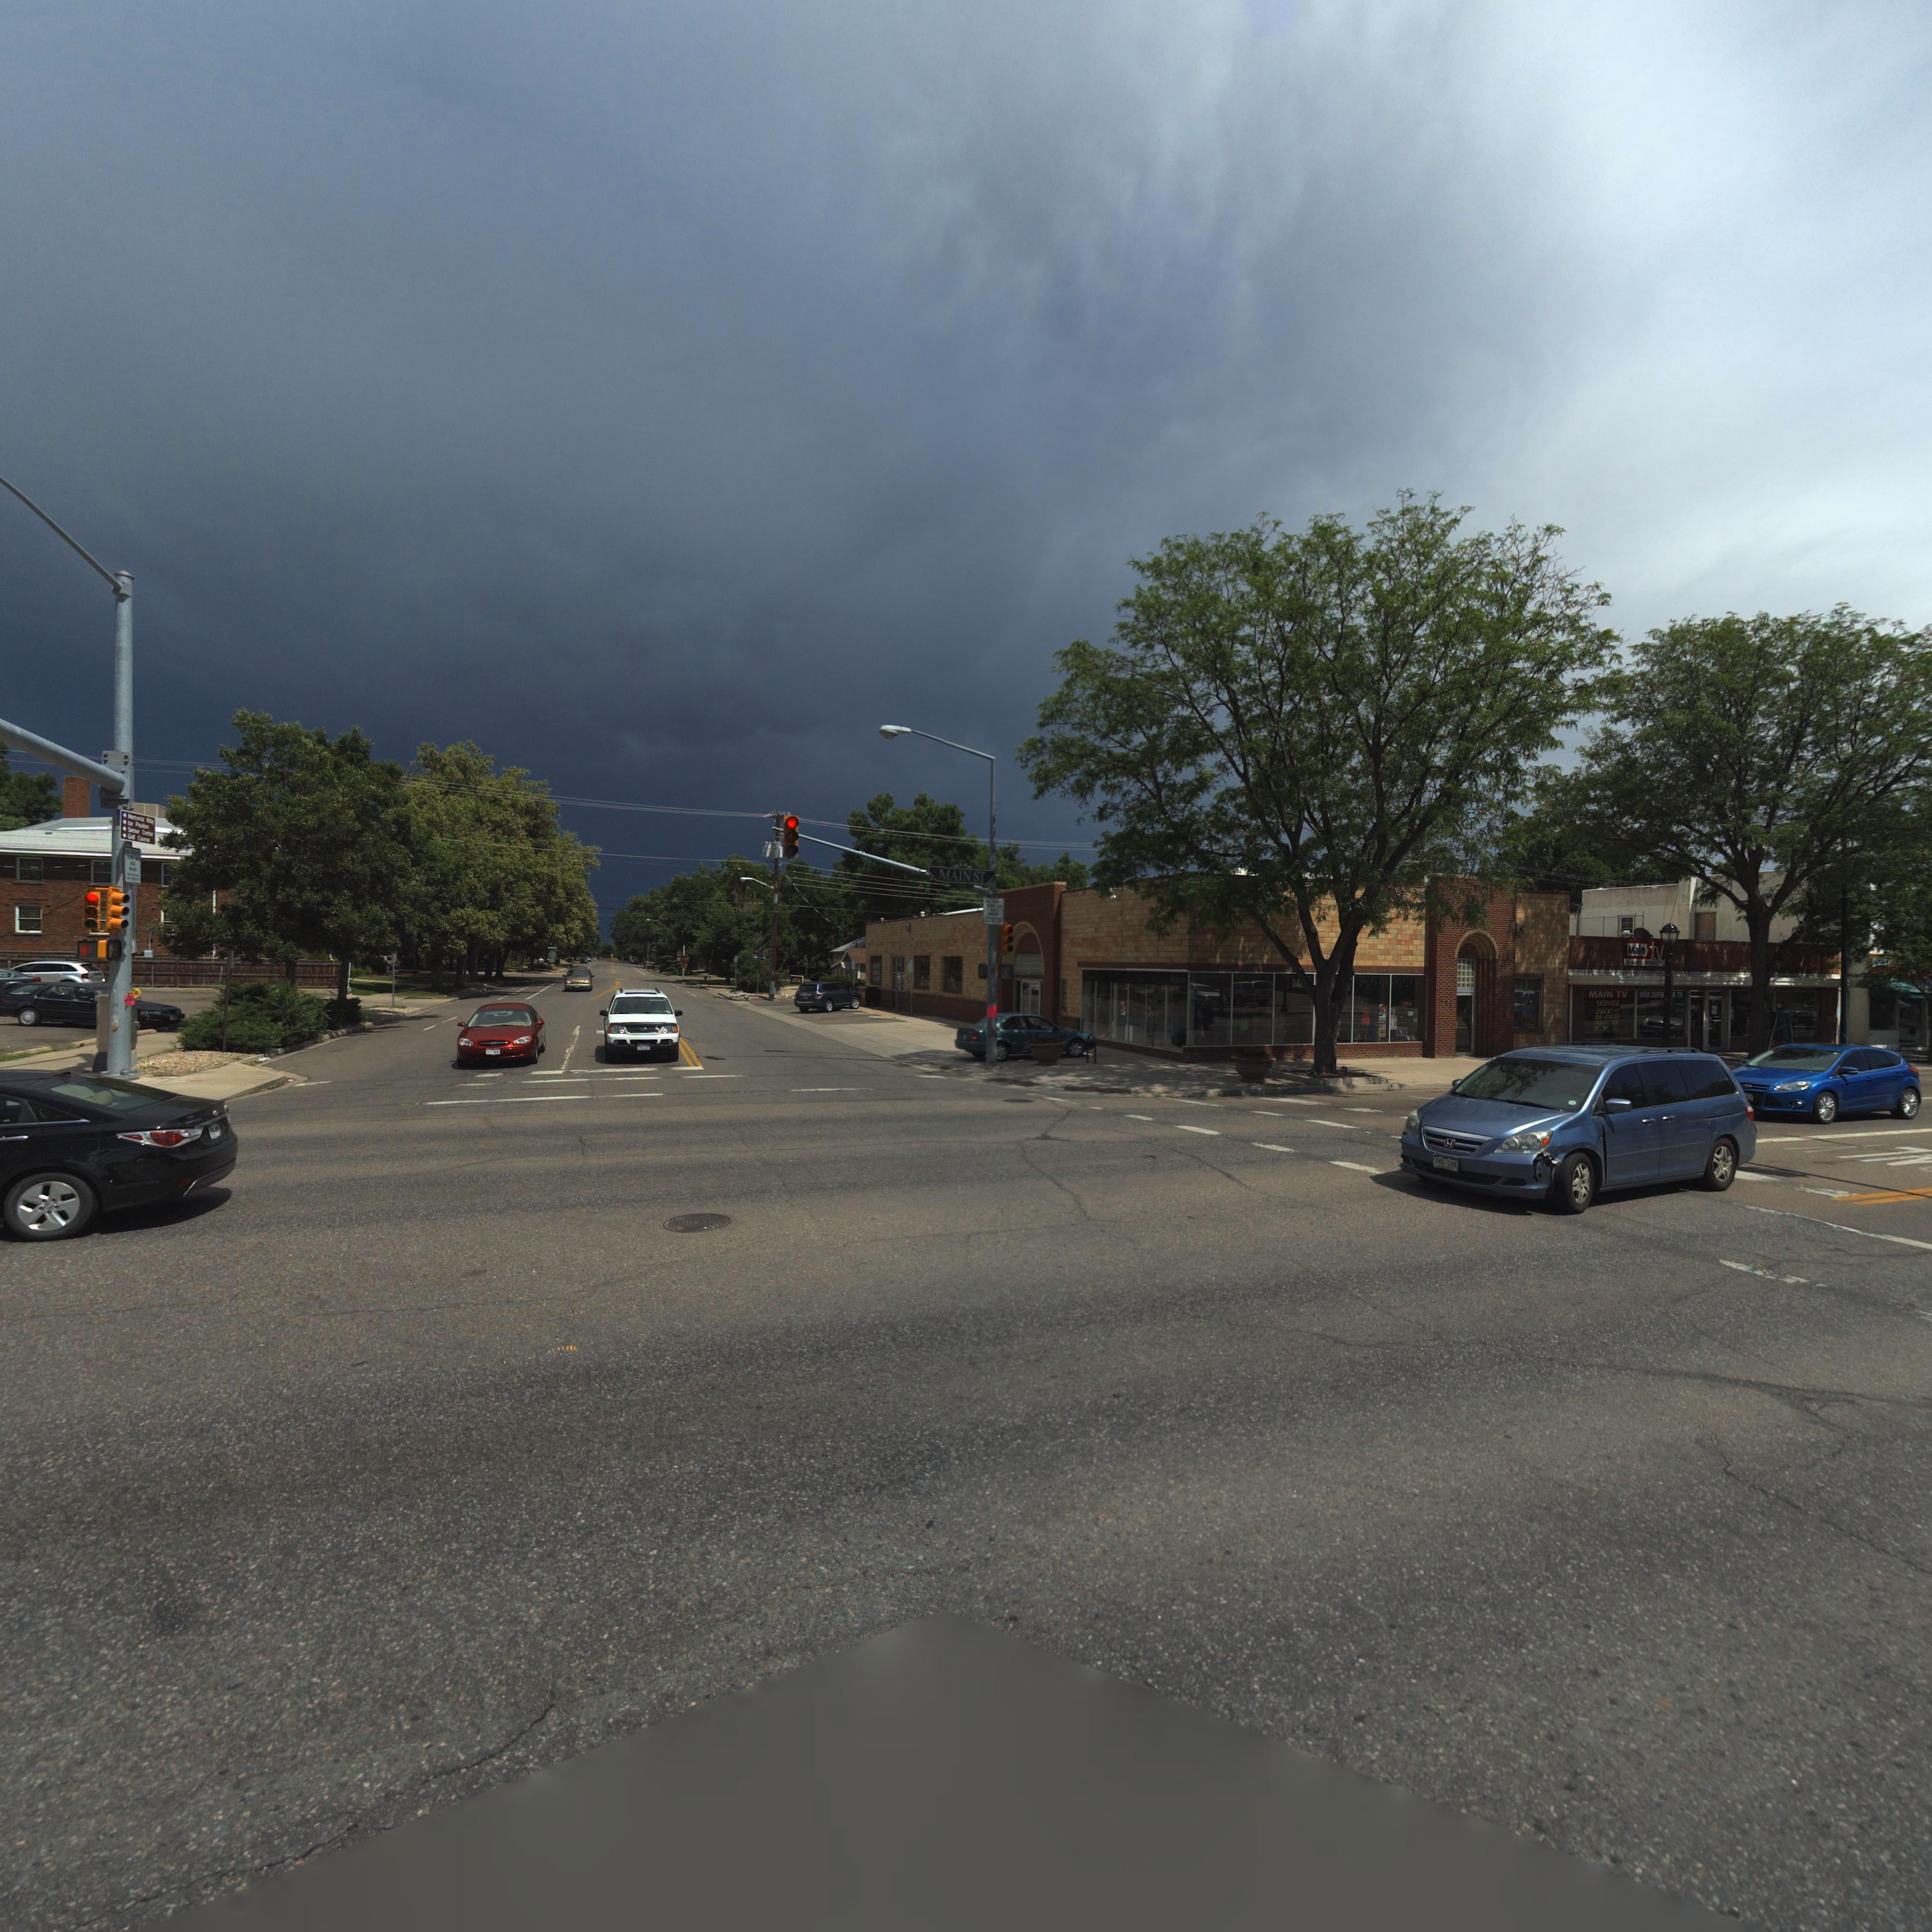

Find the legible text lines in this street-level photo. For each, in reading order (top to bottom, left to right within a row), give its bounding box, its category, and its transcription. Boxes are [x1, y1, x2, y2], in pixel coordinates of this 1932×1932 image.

[938, 868, 986, 882] StreetName: MAIN ST
[1628, 943, 1645, 955] BusinessName: Main
[1649, 941, 1664, 960] BusinessName: tv
[1292, 978, 1303, 987] BusinessName: DA*
[1589, 991, 1627, 998] BusinessName: MAIN TV